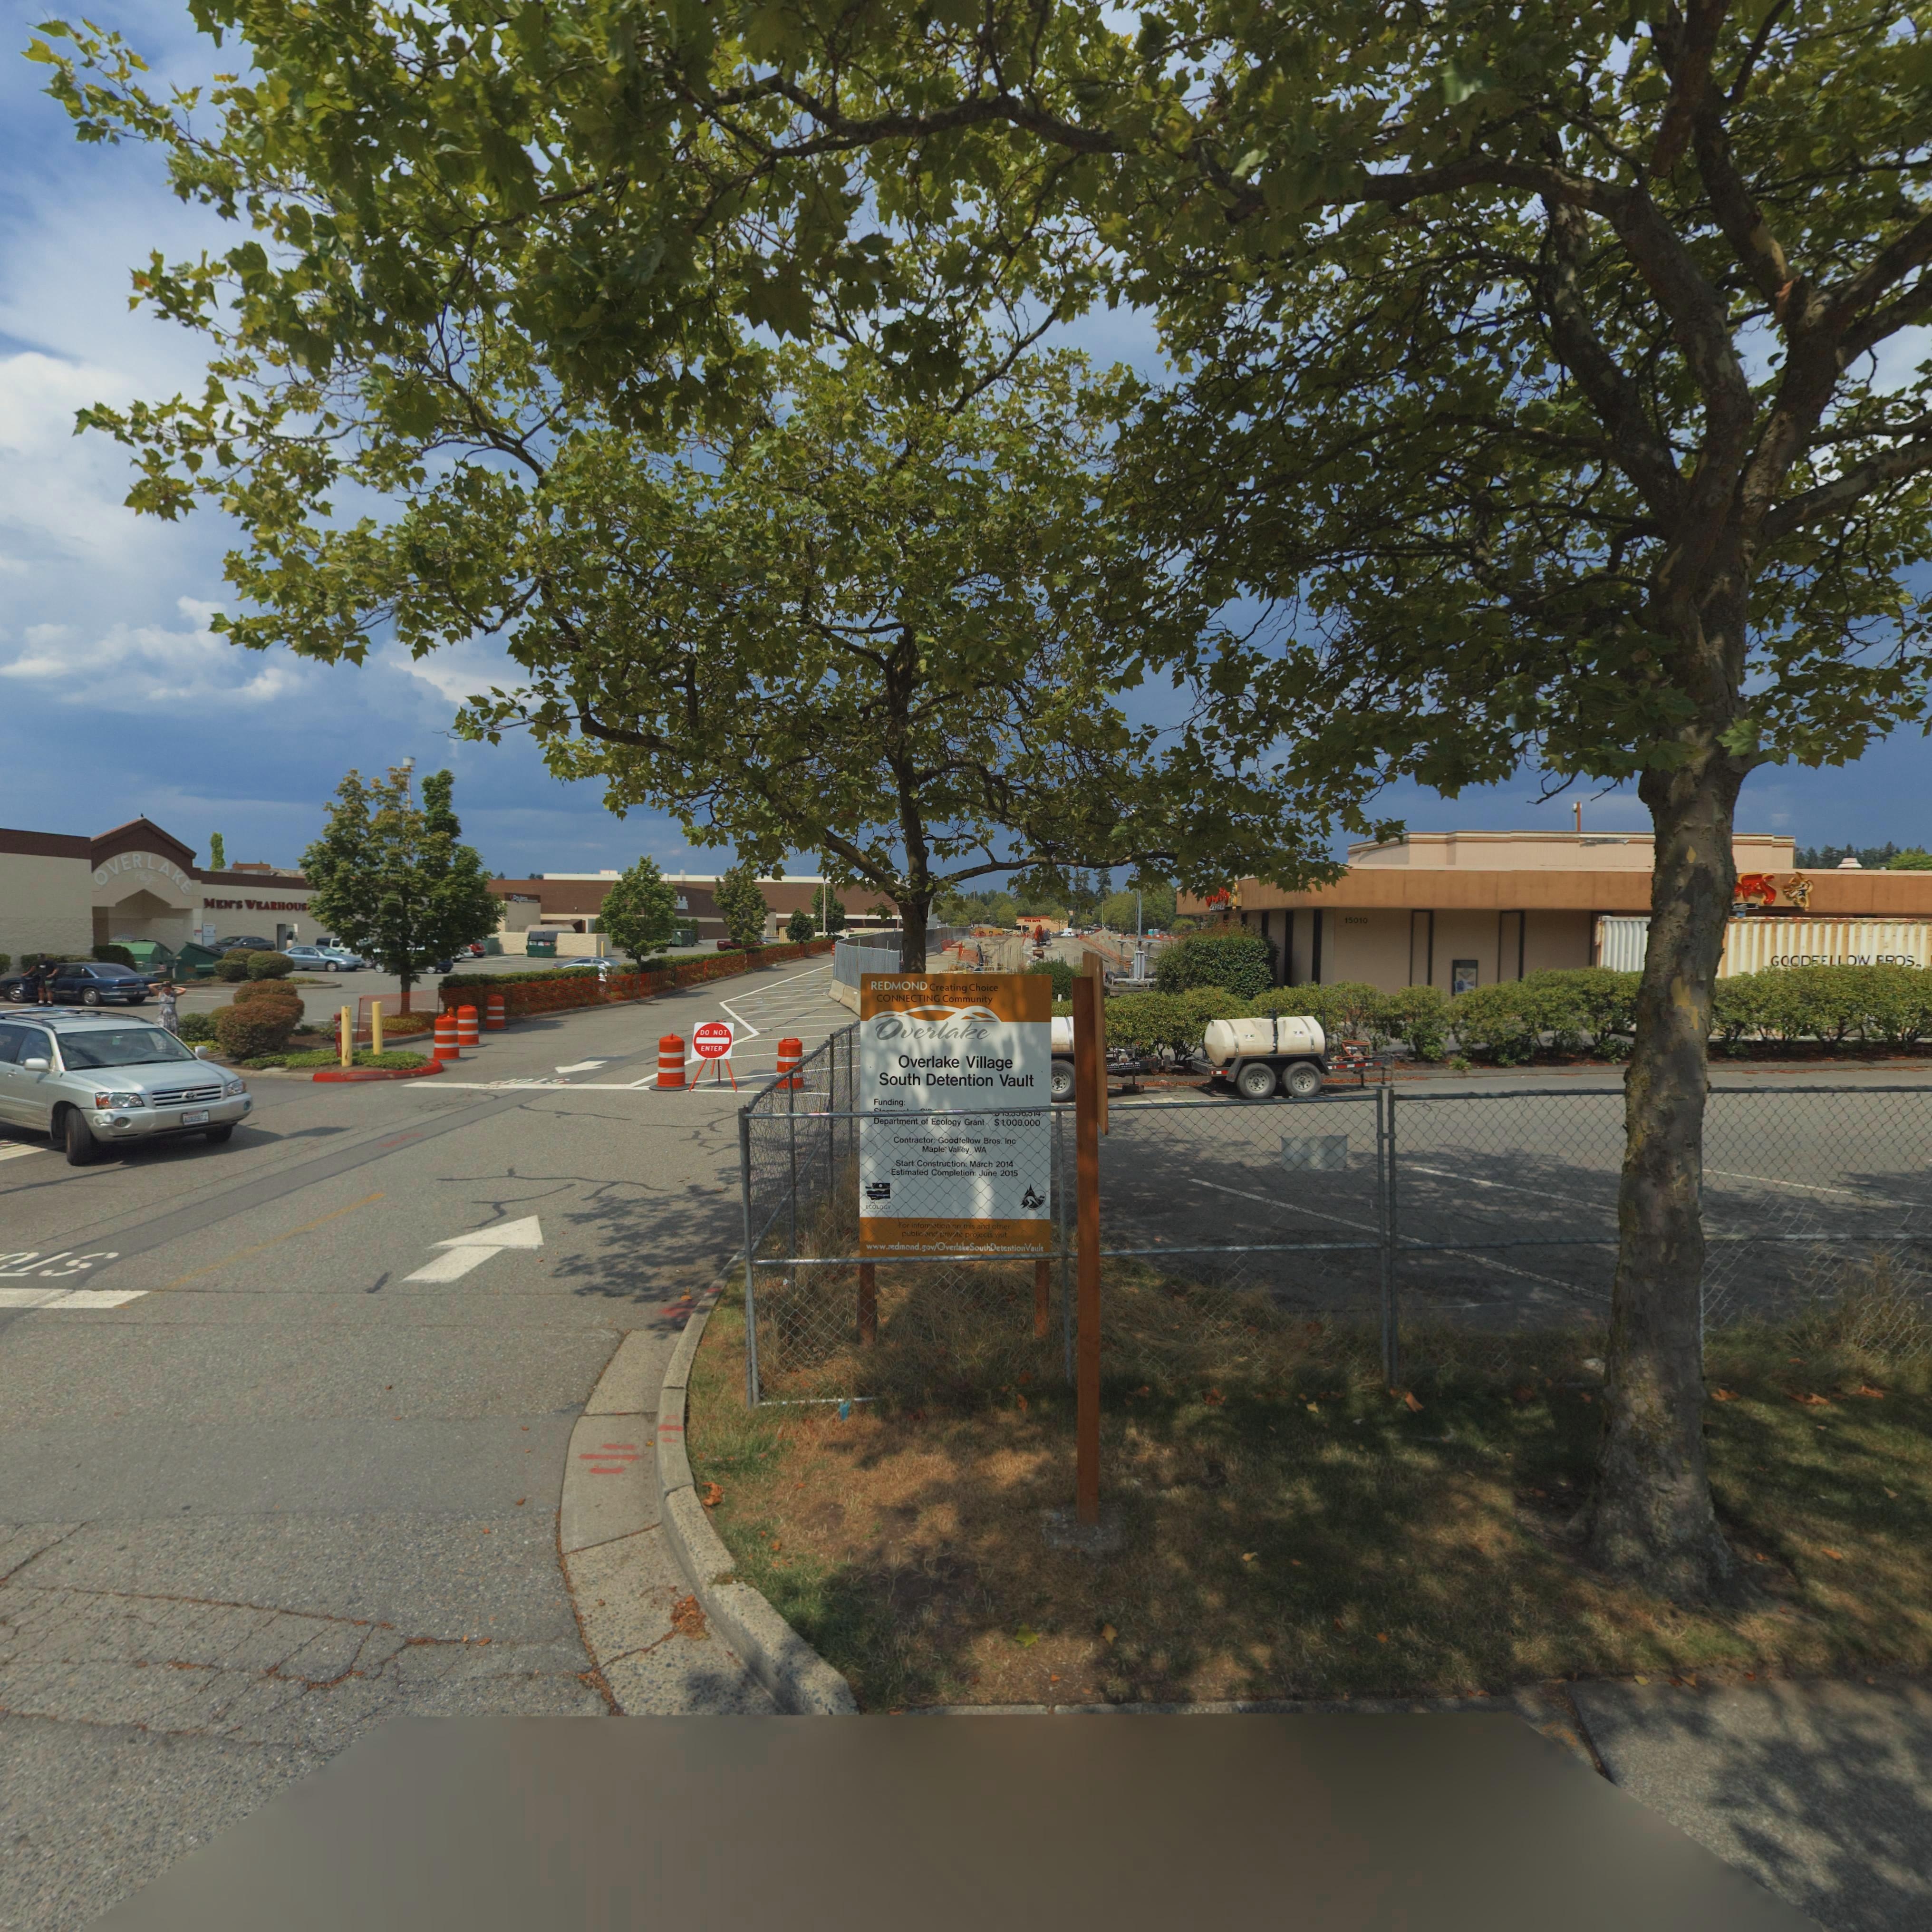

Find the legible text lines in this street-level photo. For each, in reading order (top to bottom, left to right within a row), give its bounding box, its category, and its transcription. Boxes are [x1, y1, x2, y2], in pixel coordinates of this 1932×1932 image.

[203, 895, 314, 914] BusinessName: MEN'S WEARHOUS*
[898, 1053, 1015, 1071] BusinessName: Overlake Village
[879, 1071, 1034, 1088] BusinessName: South Detention Vault